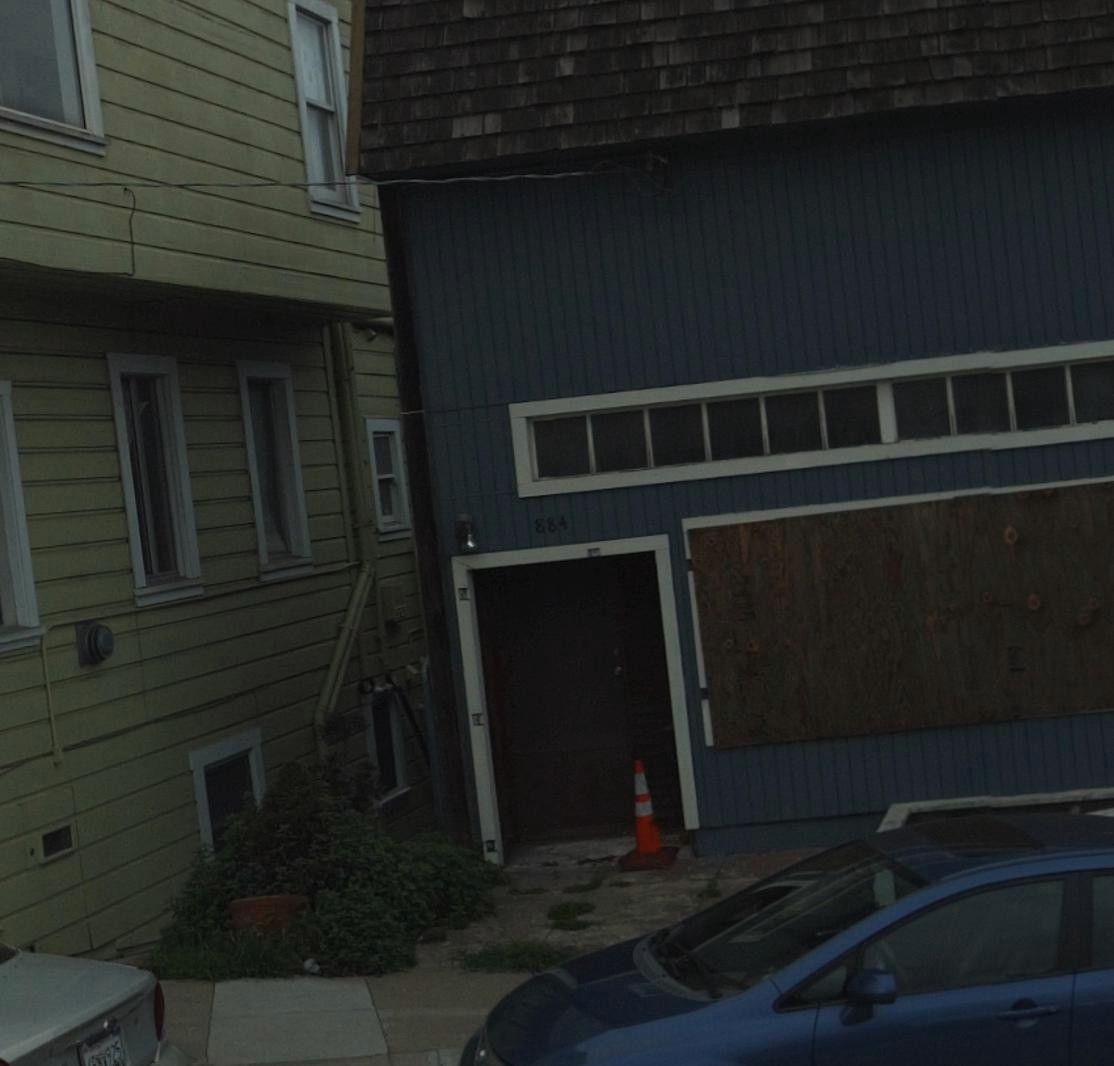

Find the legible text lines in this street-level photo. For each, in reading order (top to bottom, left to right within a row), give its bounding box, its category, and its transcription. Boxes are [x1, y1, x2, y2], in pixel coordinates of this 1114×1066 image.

[532, 512, 571, 536] StreetNumber: 884